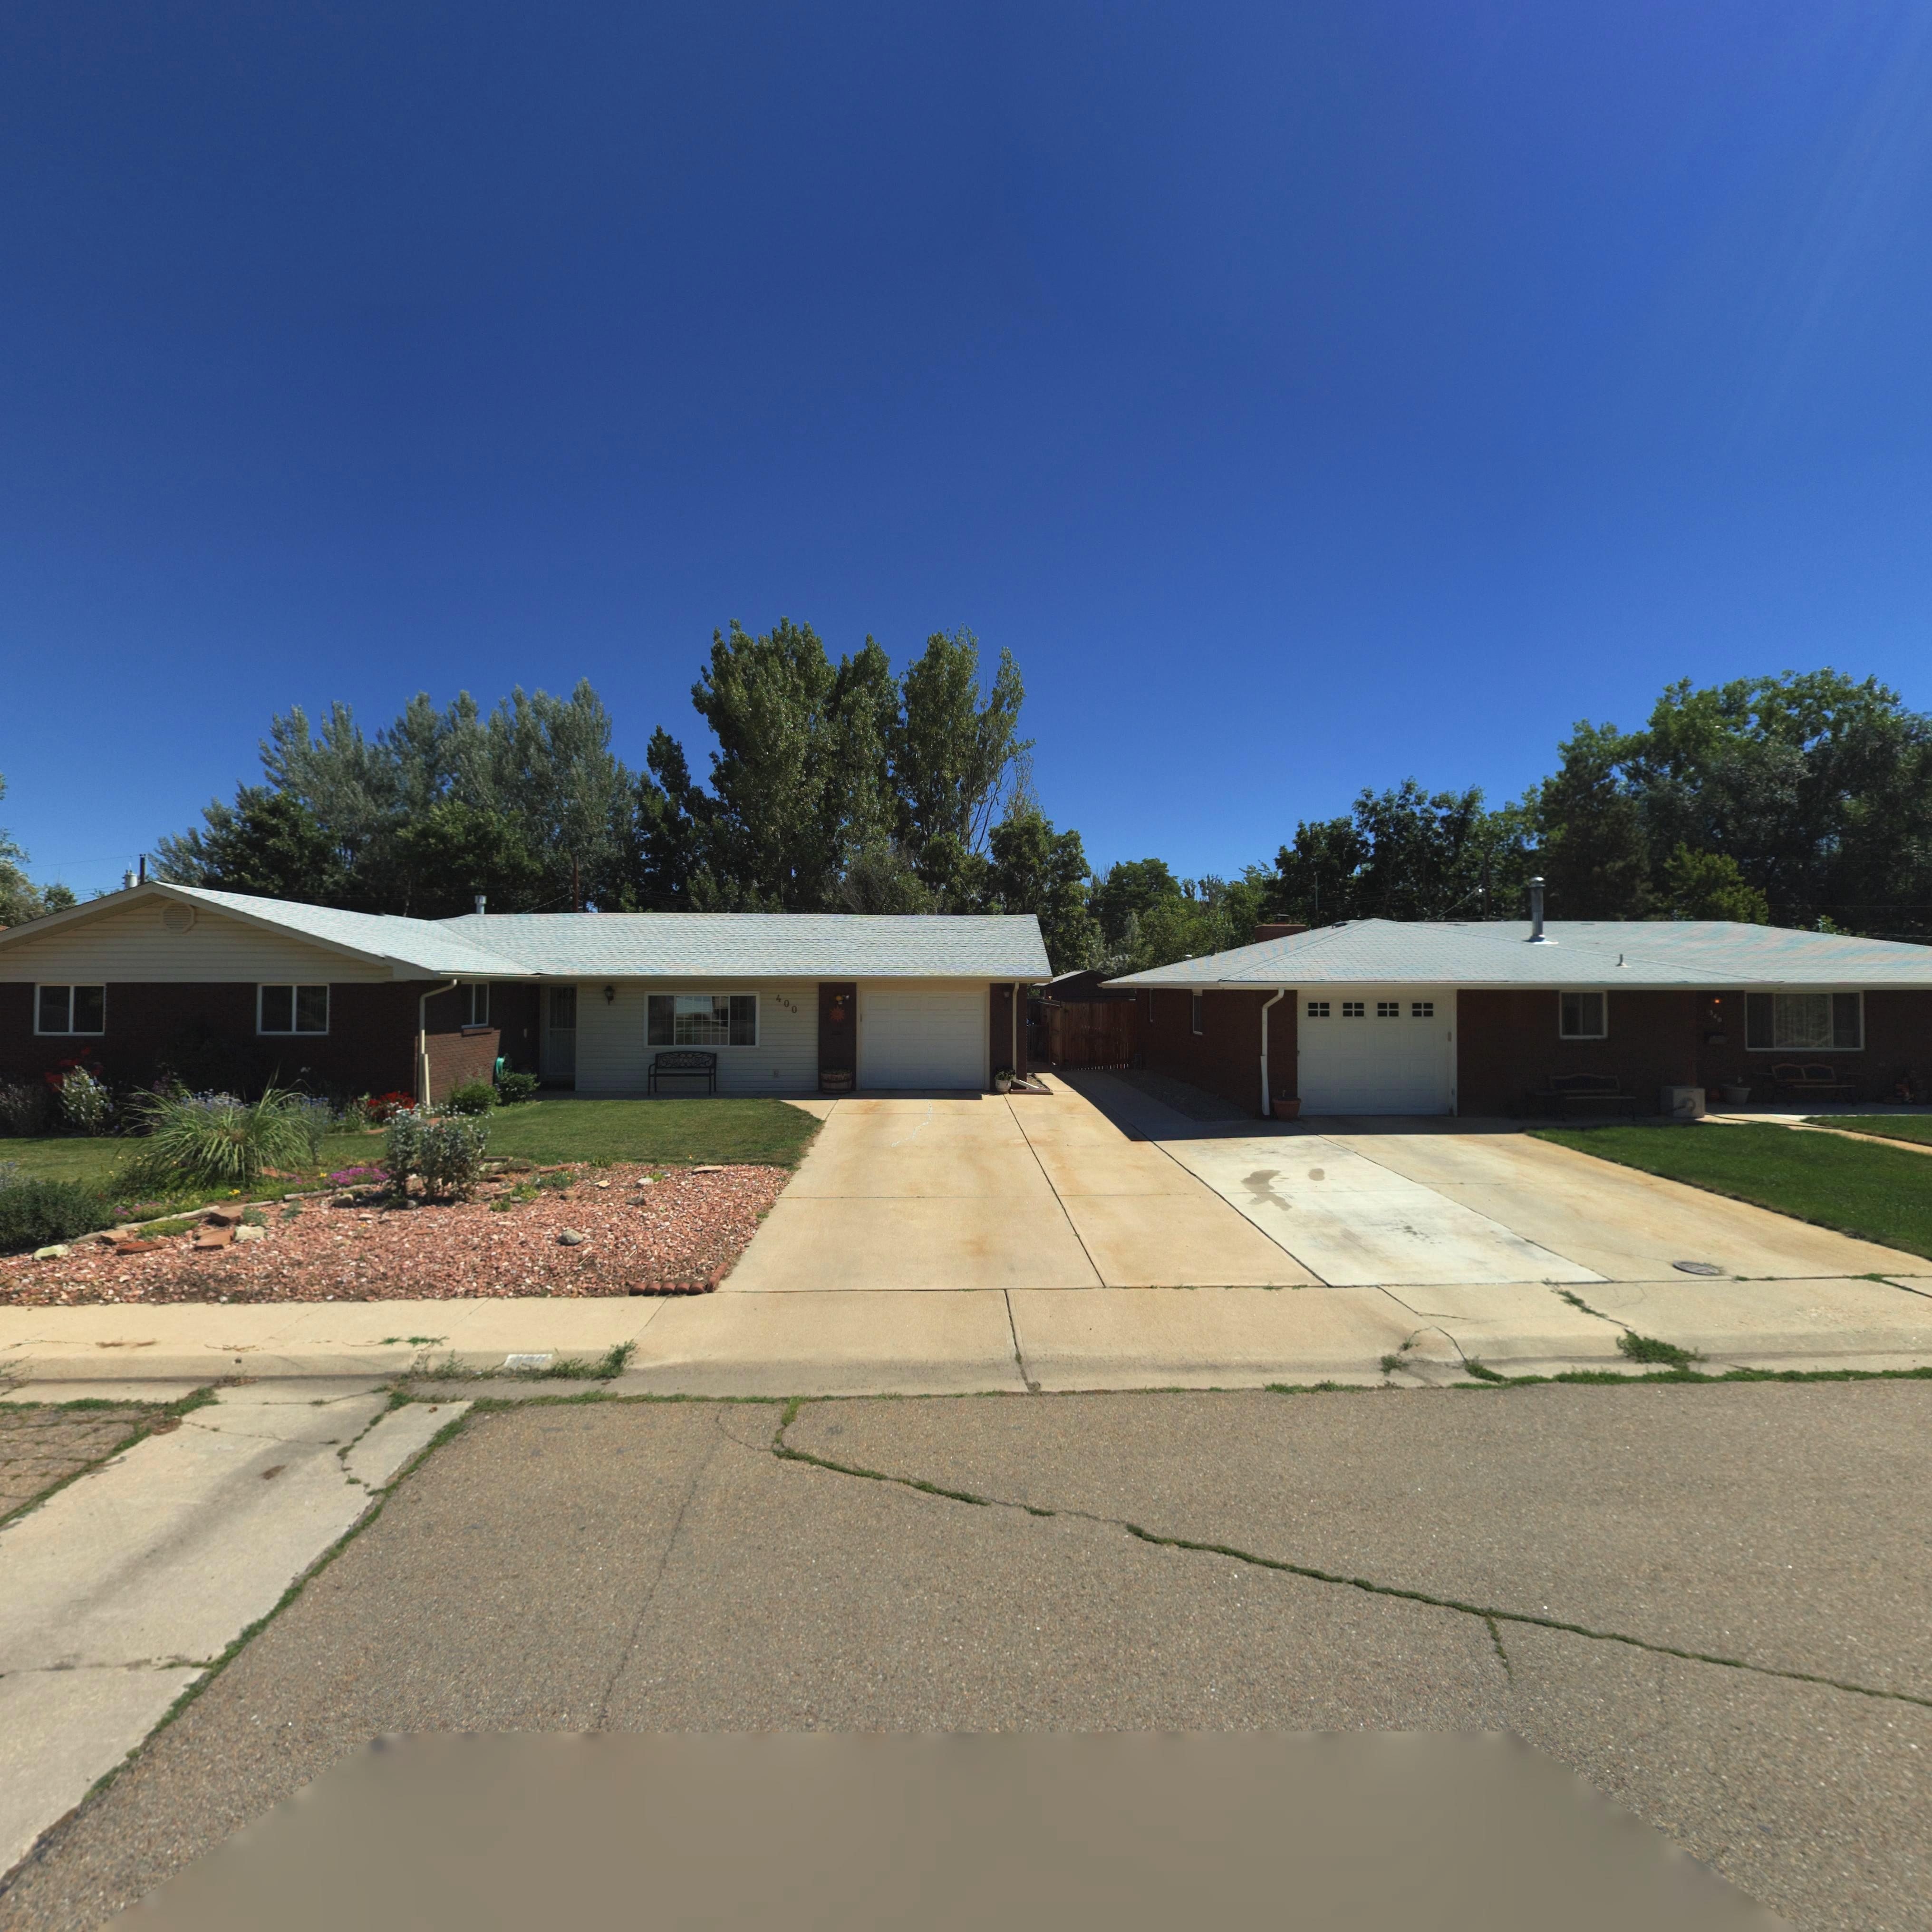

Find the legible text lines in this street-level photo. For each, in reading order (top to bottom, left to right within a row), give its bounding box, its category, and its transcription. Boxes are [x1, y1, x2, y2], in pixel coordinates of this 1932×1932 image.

[775, 994, 798, 1014] StreetNumber: 400
[1709, 1008, 1723, 1023] StreetNumber: 340